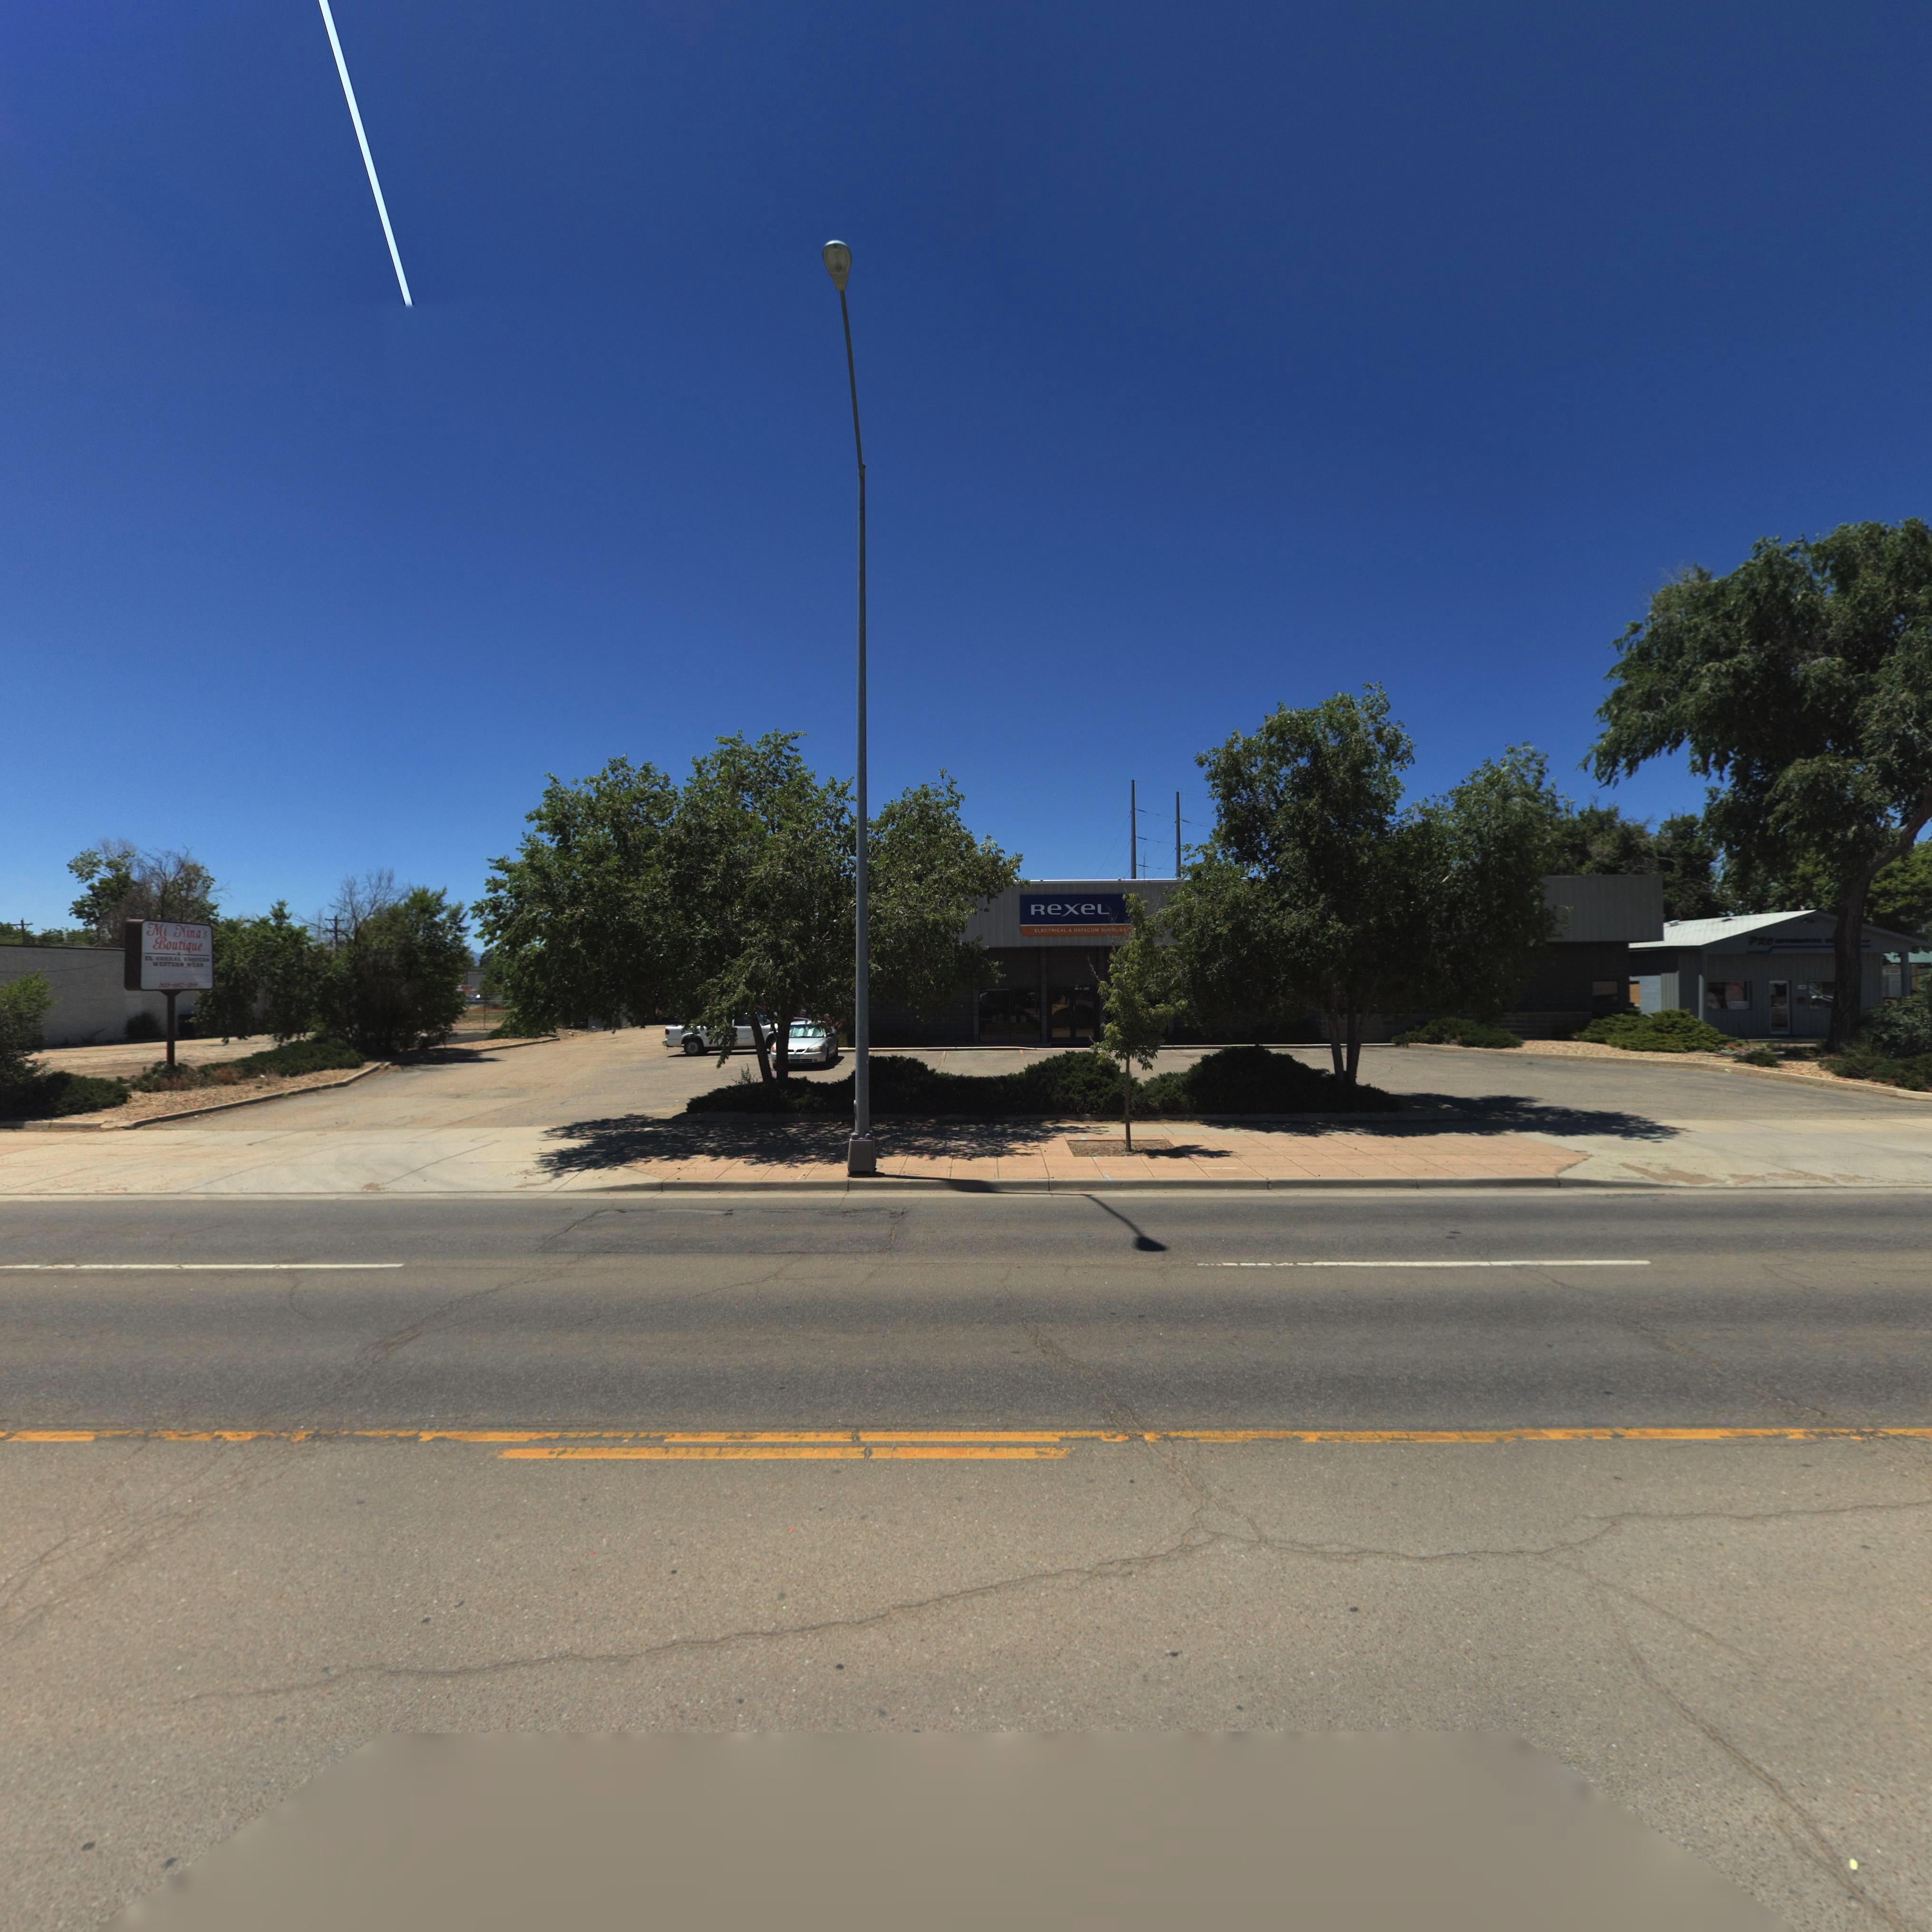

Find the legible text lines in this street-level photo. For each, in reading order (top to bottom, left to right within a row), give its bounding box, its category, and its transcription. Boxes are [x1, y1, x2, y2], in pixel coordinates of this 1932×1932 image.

[1030, 903, 1110, 917] BusinessName: RexeL
[145, 922, 209, 939] BusinessName: Mi Nina's
[1034, 927, 1128, 933] BusinessName: ELECTRICAL & DATACOM SUPPLIES
[152, 936, 203, 953] BusinessName: Boutique
[1747, 934, 1774, 946] BusinessName: PRO